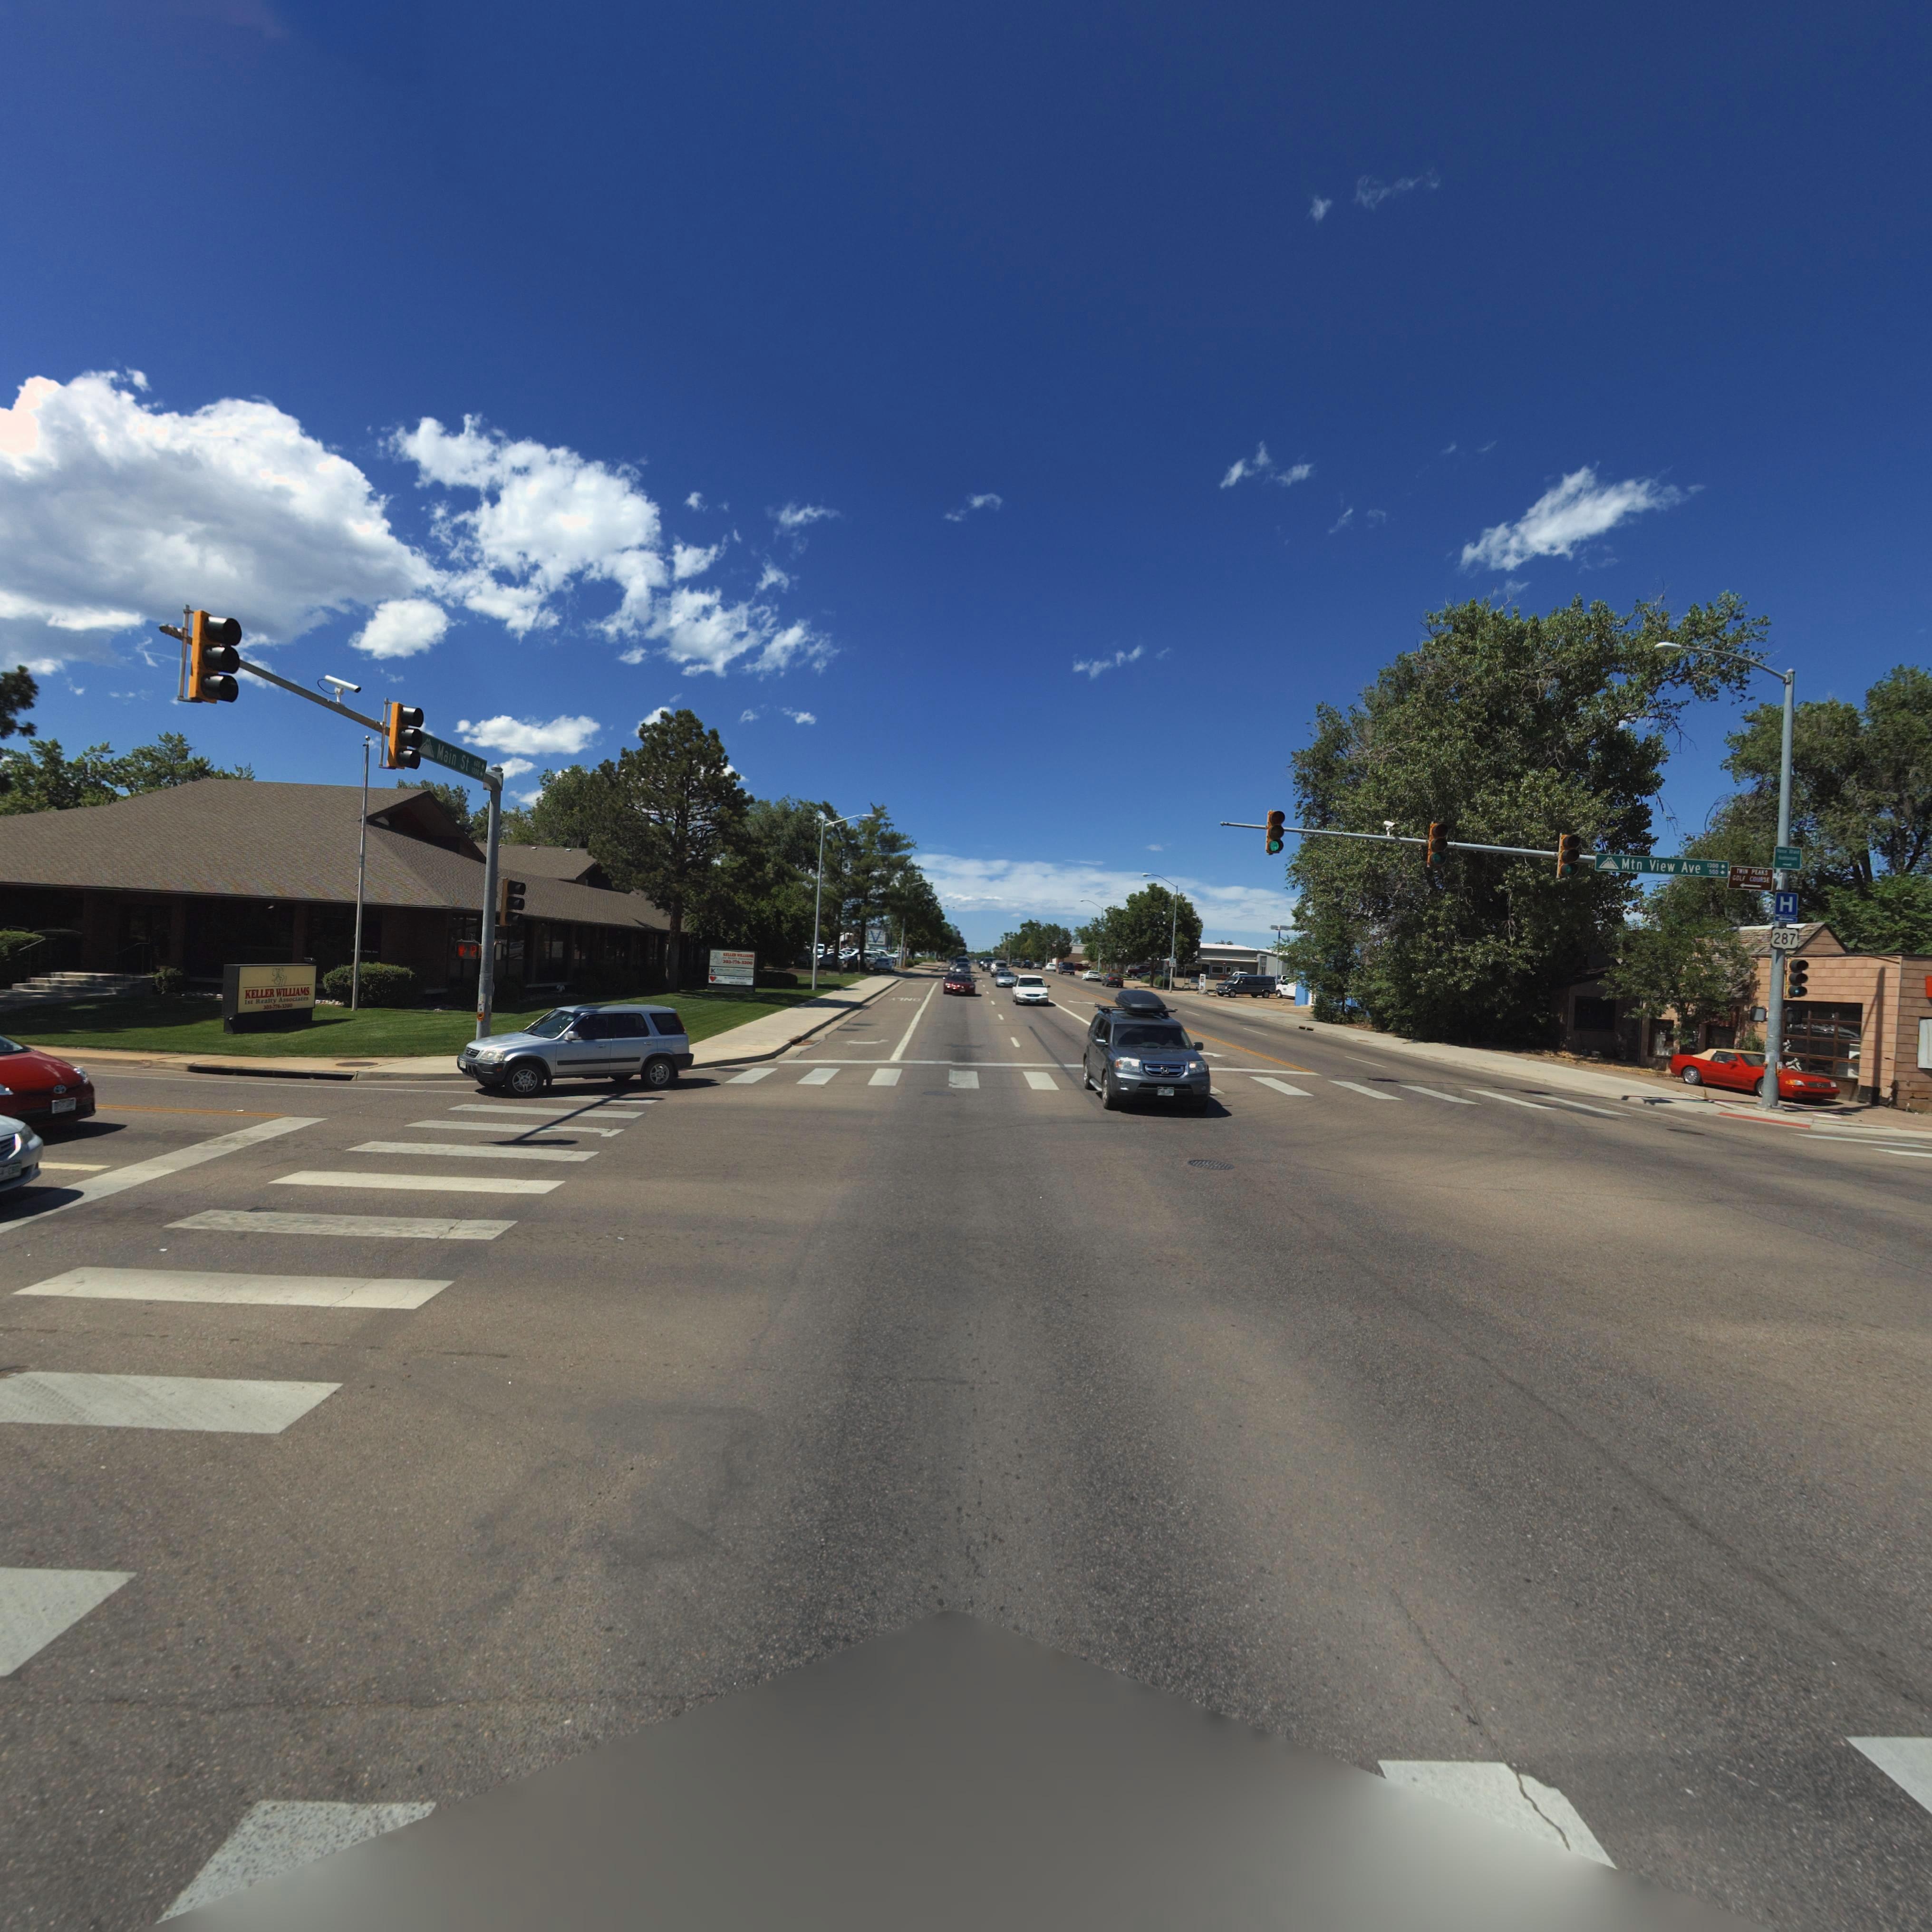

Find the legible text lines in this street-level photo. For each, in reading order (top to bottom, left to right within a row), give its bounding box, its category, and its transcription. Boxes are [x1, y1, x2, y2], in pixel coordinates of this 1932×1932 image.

[436, 742, 469, 772] StreetName: Main St
[473, 759, 481, 768] StreetNumberRange: 600
[470, 766, 483, 776] StreetNumberRange: 1300->
[1621, 857, 1701, 874] StreetName: Mtn View Ave
[1707, 862, 1719, 869] StreetNumberRange: 1300
[1708, 869, 1725, 875] StreetNumberRange: 500->
[723, 952, 753, 958] BusinessName: KELLER WILLIAMS
[710, 967, 715, 974] BusinessName: K
[244, 986, 310, 999] BusinessName: KELLER WILLIAMS
[244, 996, 309, 1005] BusinessName: 1st Realty Associates